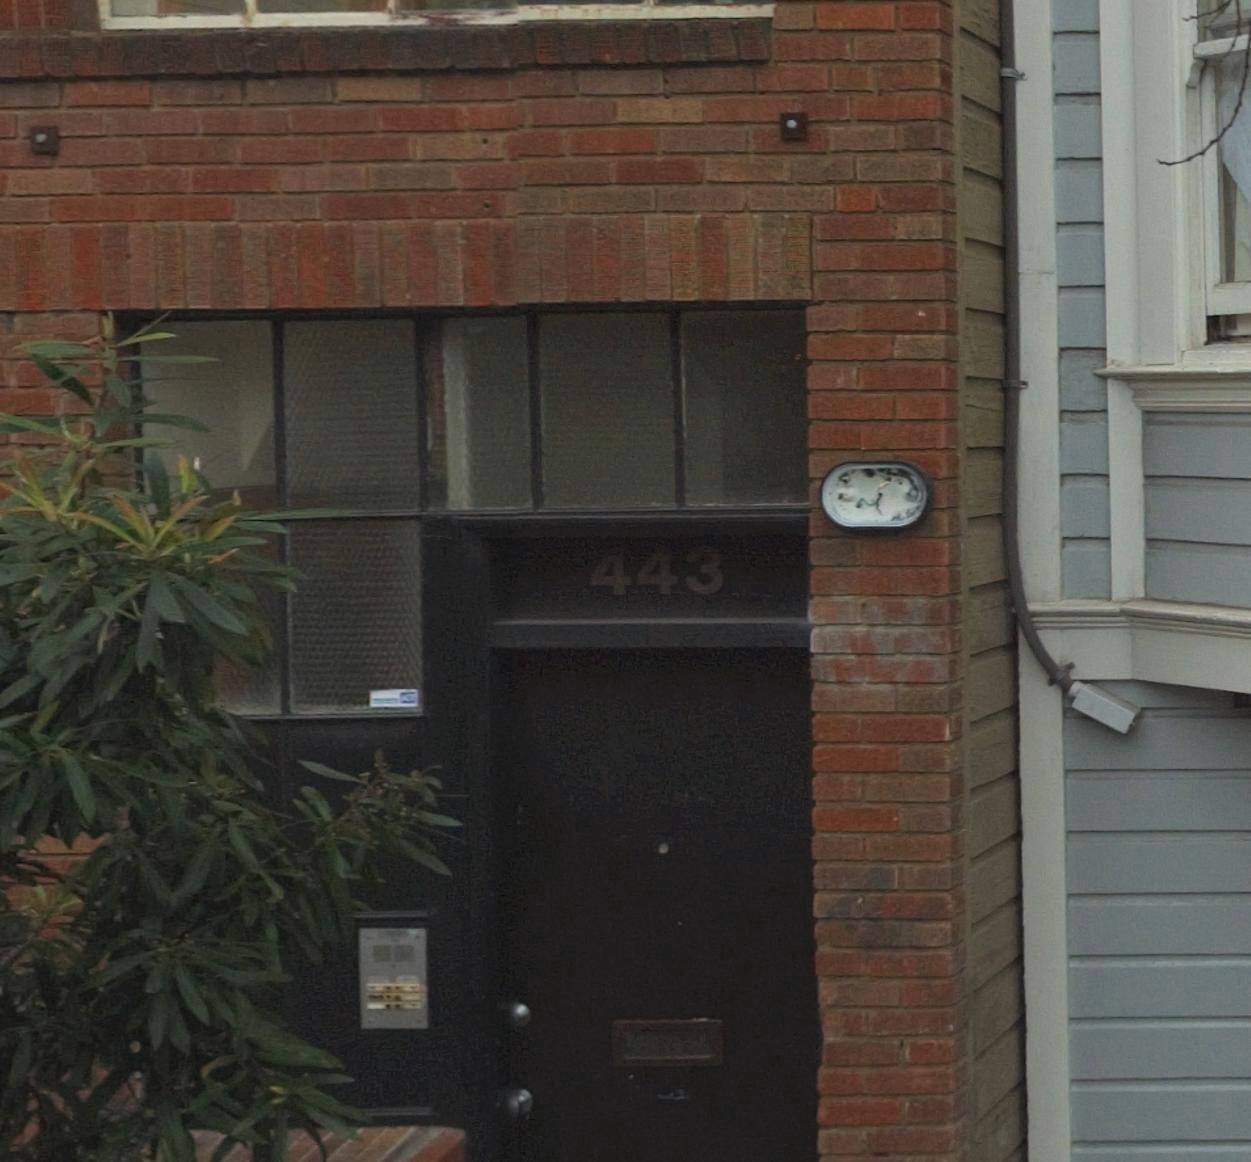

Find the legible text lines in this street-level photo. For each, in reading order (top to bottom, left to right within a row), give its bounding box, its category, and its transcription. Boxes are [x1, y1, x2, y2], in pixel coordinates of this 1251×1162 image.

[586, 543, 728, 599] StreetNumber: 443